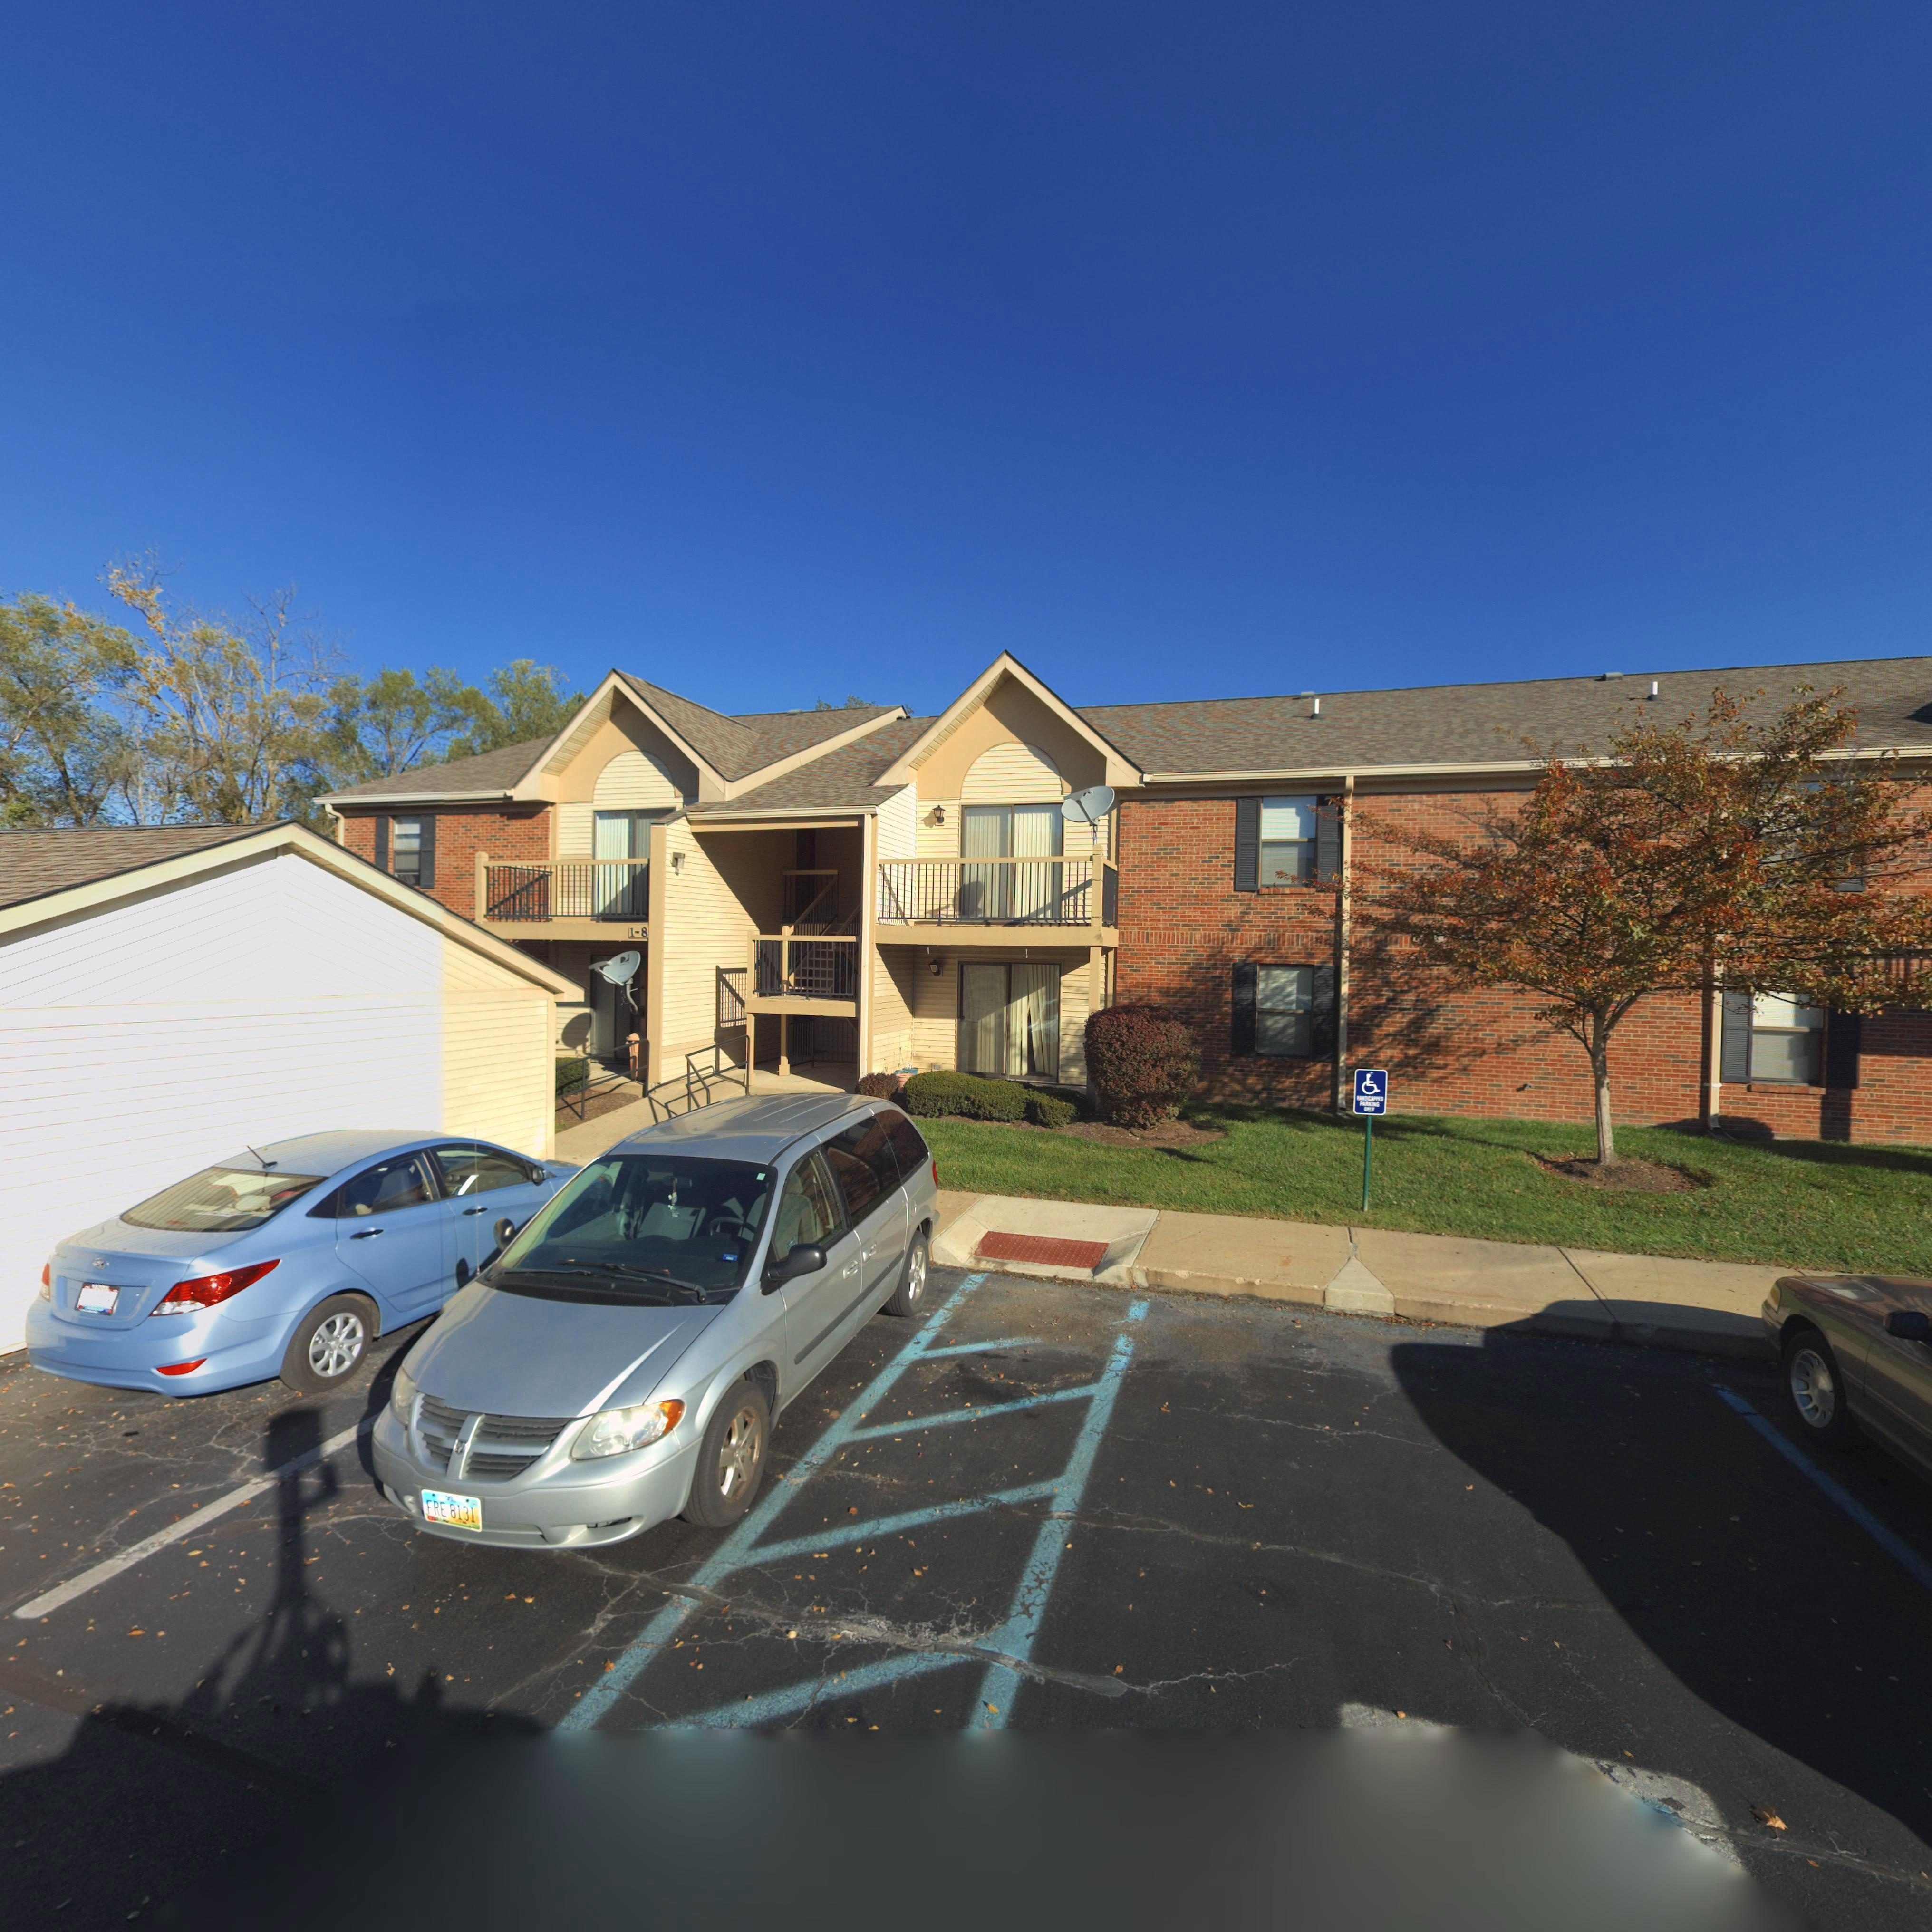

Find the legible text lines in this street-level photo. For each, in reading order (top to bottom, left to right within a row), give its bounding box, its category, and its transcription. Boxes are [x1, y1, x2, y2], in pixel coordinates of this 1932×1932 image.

[629, 927, 648, 937] StreetNumber: 1-8